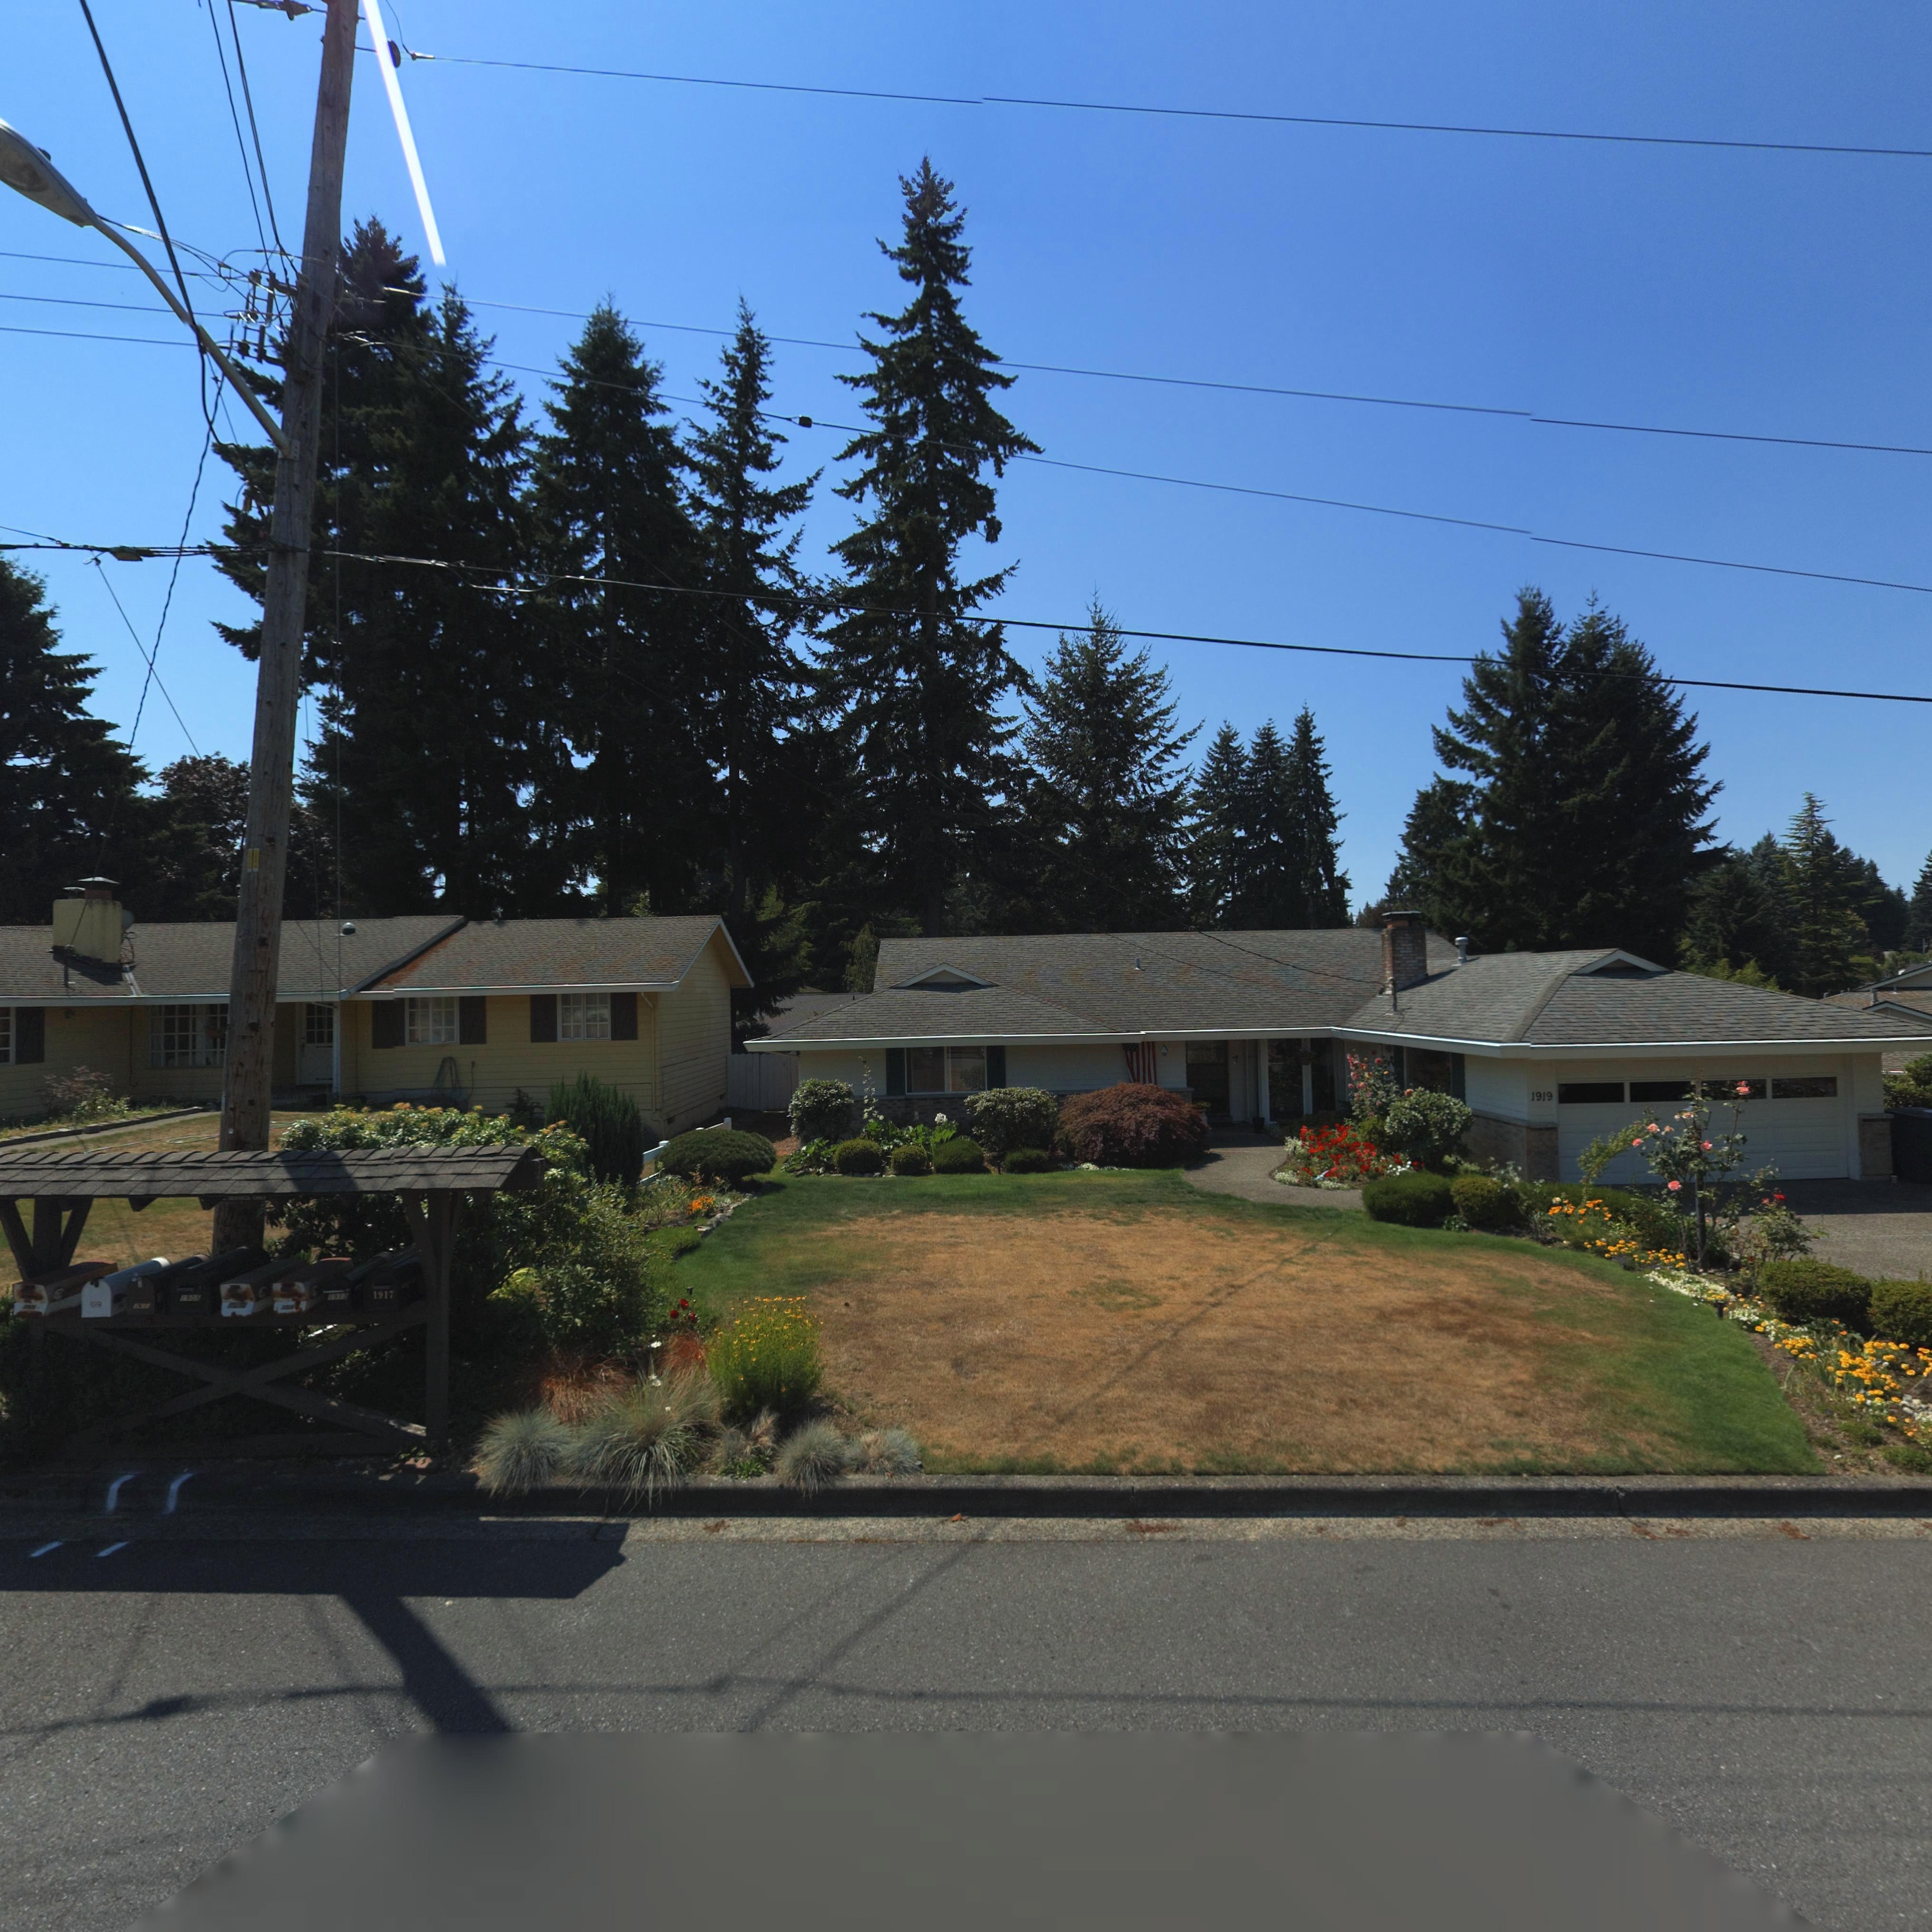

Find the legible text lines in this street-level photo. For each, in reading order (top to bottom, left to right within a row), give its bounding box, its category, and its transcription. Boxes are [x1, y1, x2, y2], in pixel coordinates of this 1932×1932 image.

[1531, 1091, 1553, 1101] StreetNumber: 1919
[181, 1294, 200, 1301] StreetNumber: 1905
[373, 1290, 394, 1299] StreetNumber: 1917
[90, 1301, 102, 1307] StreetNumber: *9